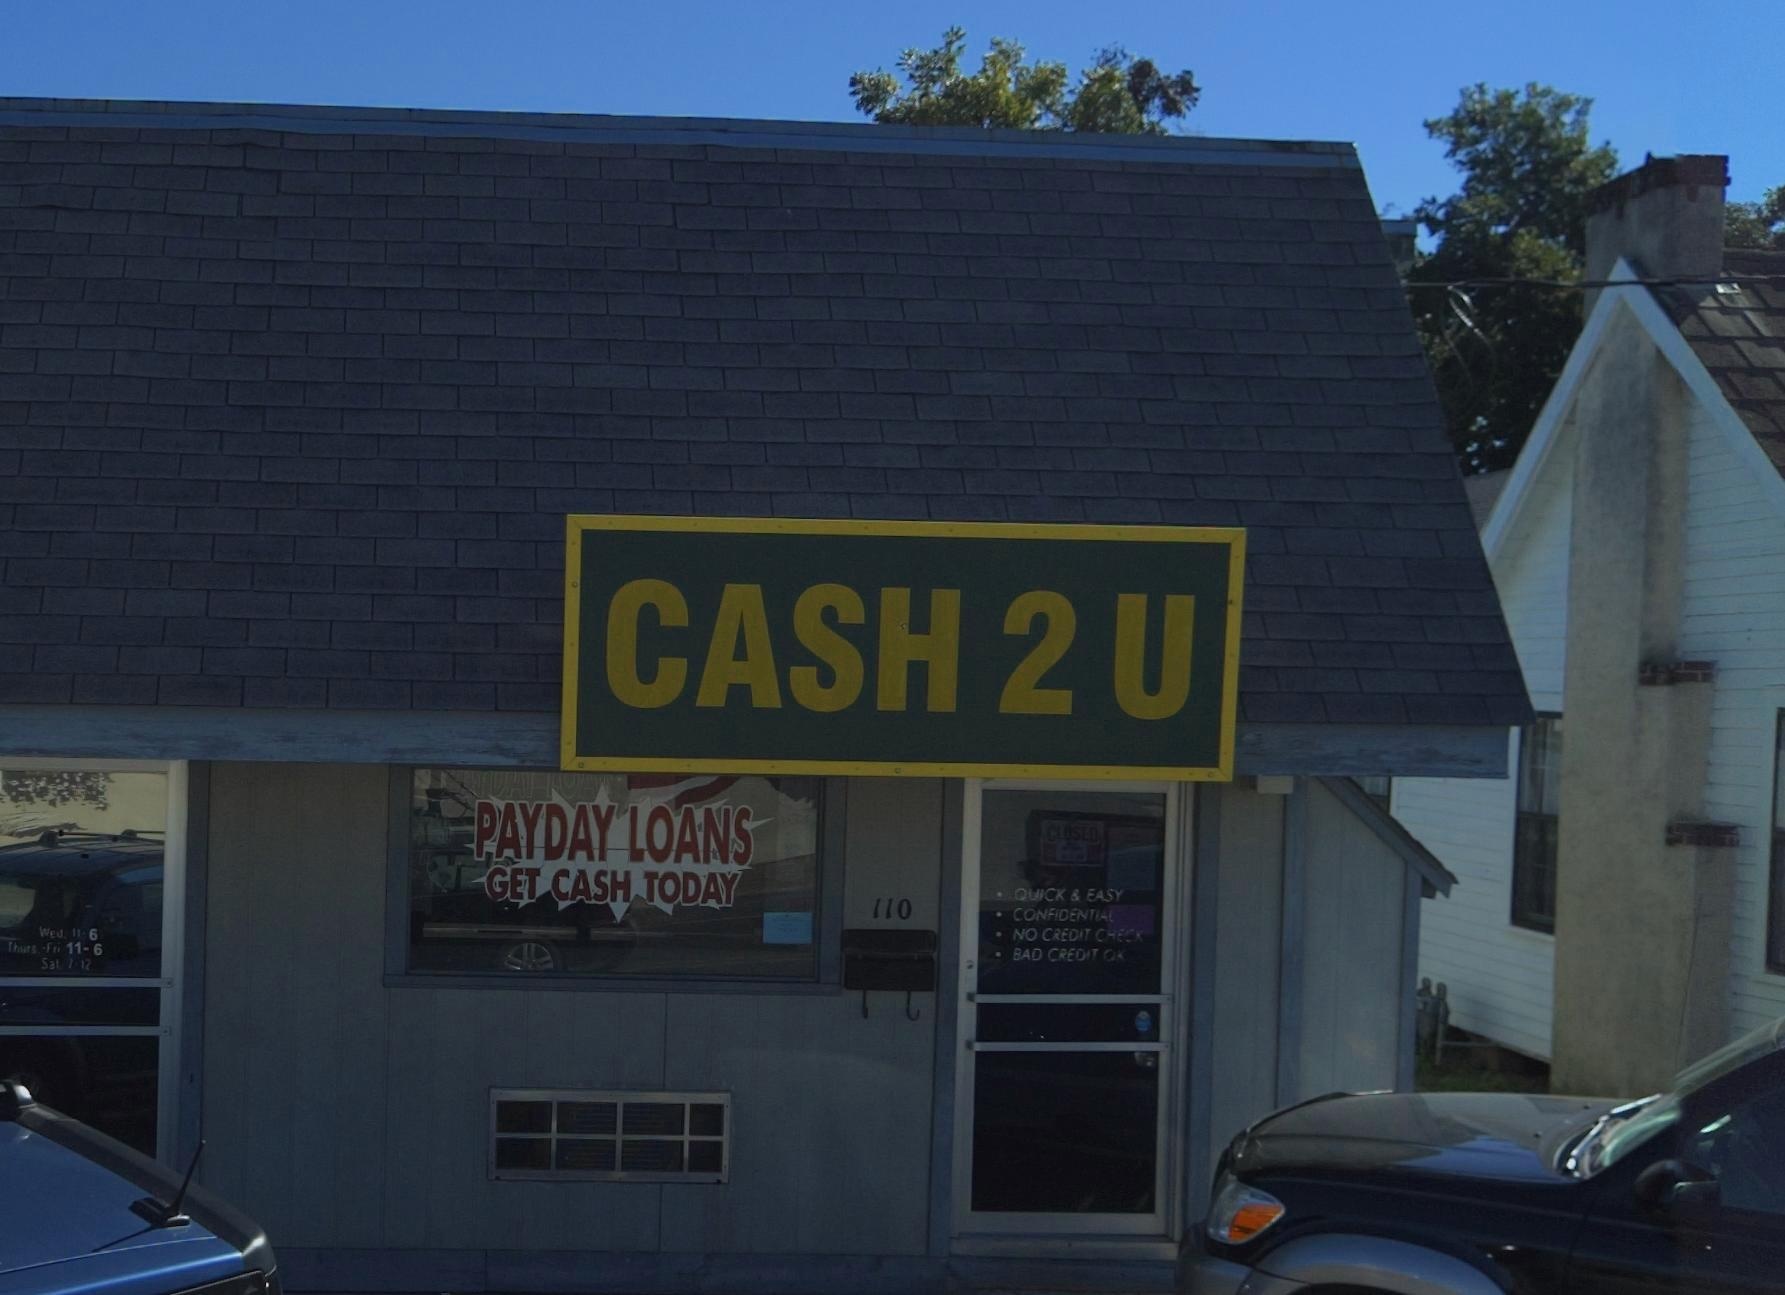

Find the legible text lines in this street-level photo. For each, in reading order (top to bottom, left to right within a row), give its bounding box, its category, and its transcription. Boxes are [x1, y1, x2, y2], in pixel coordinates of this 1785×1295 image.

[601, 576, 1198, 723] BusinessName: CASH 2 U
[475, 800, 754, 867] None: PAYDAY LOANS
[1045, 823, 1100, 844] None: CLOSED
[484, 866, 743, 908] None: GET CASH TODAY
[1013, 886, 1125, 903] None: QUICK & EASY
[871, 896, 914, 921] StreetNumber: 110
[1012, 906, 1117, 923] None: CONFIDENTIAL
[38, 924, 100, 942] None: Wed. 11-6
[1011, 927, 1146, 944] None: NO CREDIT CHECK
[5, 938, 104, 956] None: Thurs-Fri 11-6
[40, 956, 93, 972] None: Sat 7-12
[1011, 946, 1128, 964] None: BAD CREDIT OK